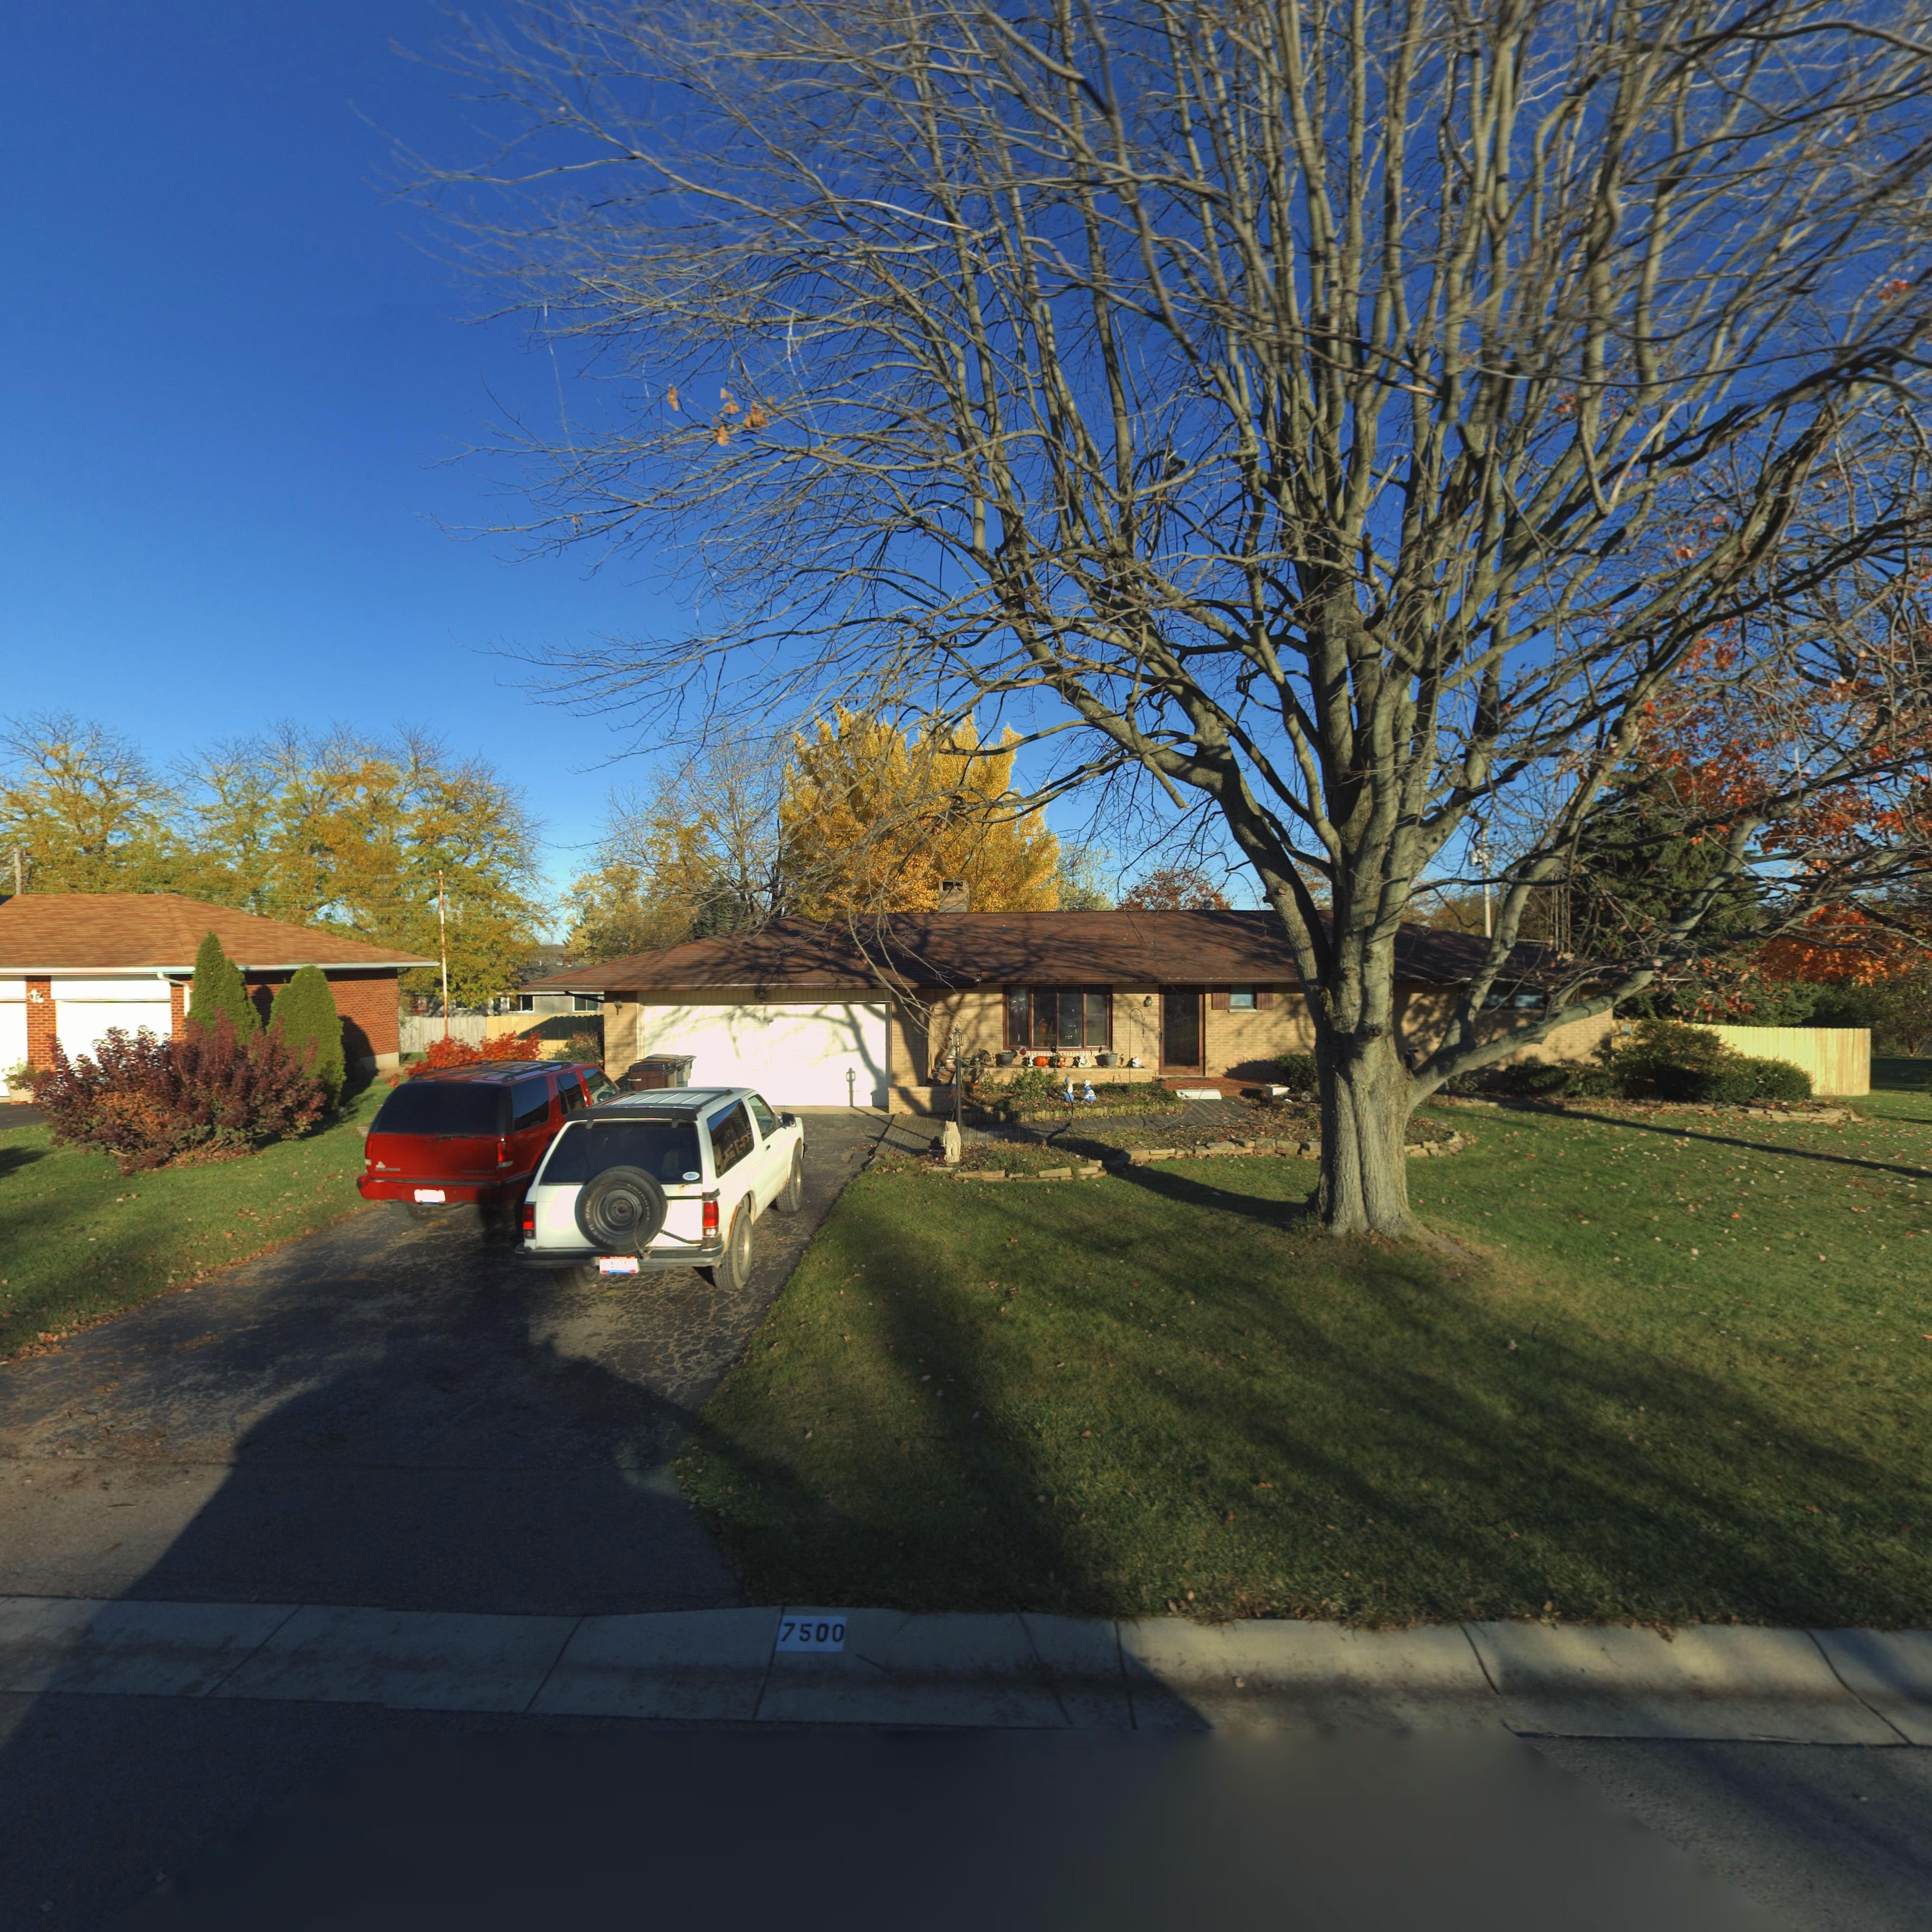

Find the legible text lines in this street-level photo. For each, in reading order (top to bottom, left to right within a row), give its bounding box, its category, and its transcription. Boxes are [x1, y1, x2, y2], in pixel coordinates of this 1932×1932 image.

[778, 1621, 846, 1645] StreetNumber: 7500